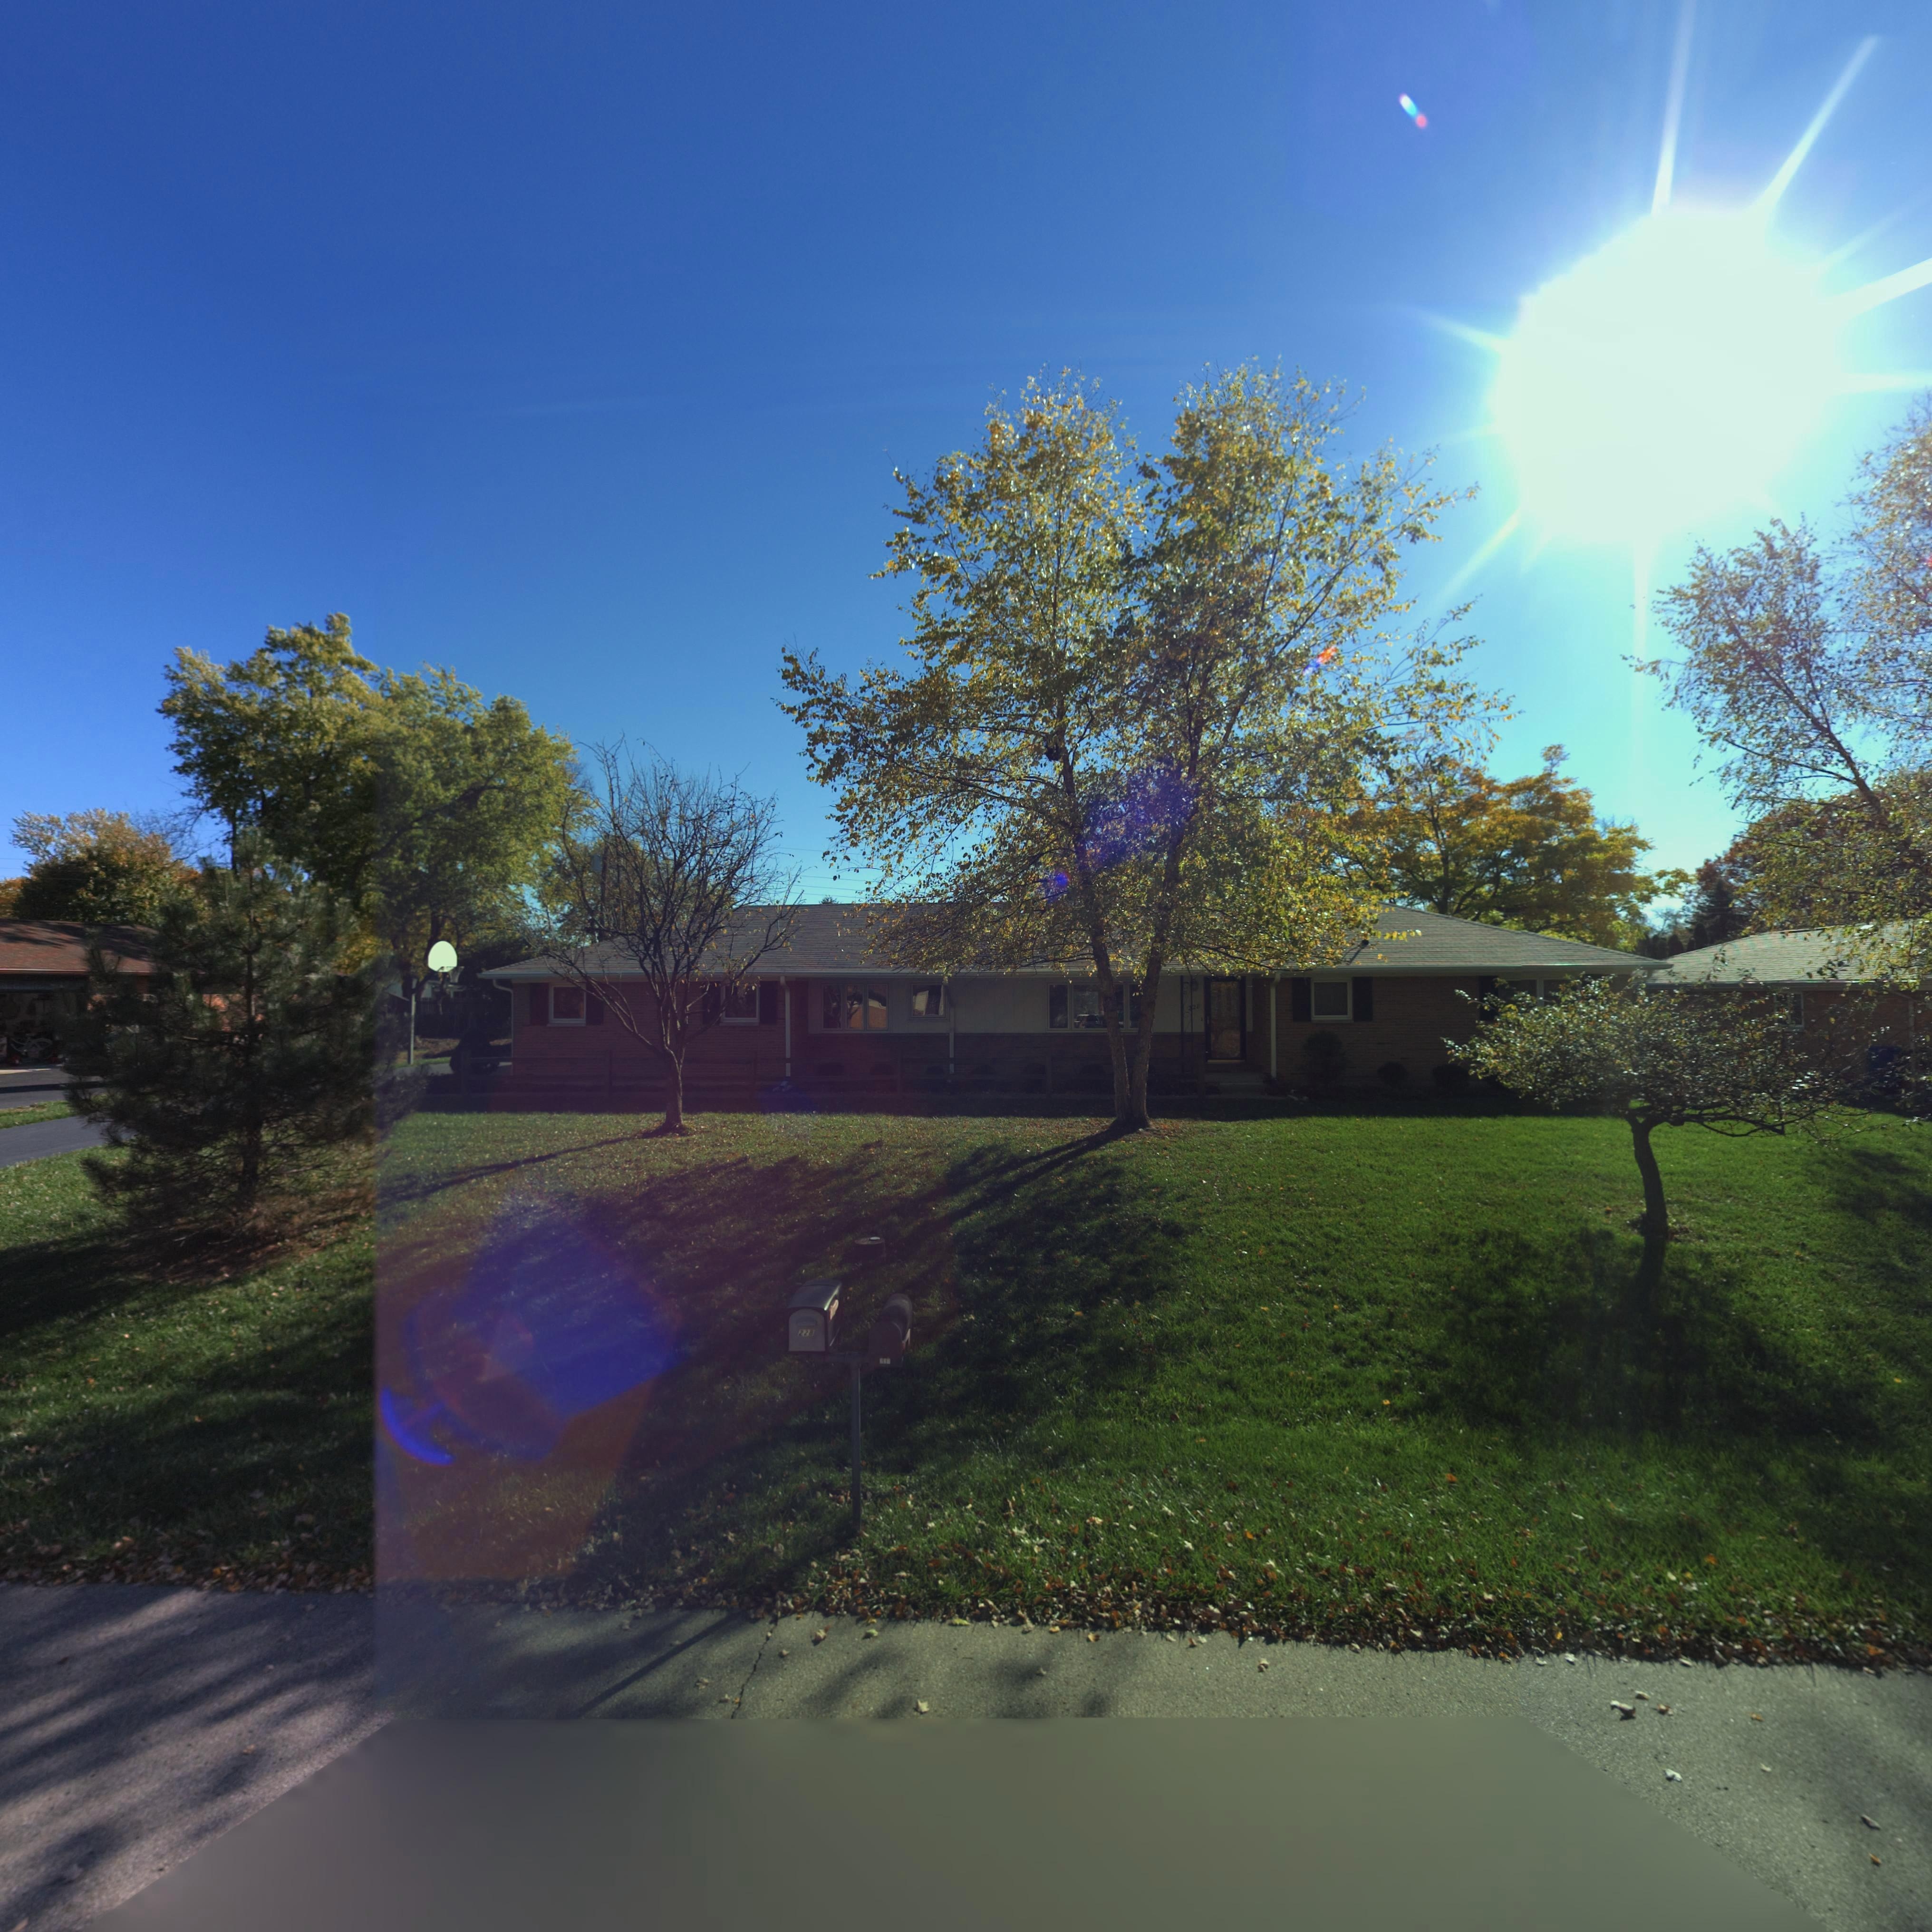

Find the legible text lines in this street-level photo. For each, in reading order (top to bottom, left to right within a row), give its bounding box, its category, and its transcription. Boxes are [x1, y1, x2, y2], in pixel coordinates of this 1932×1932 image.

[1188, 1003, 1202, 1012] StreetNumber: 228
[798, 1329, 813, 1336] StreetNumber: 228